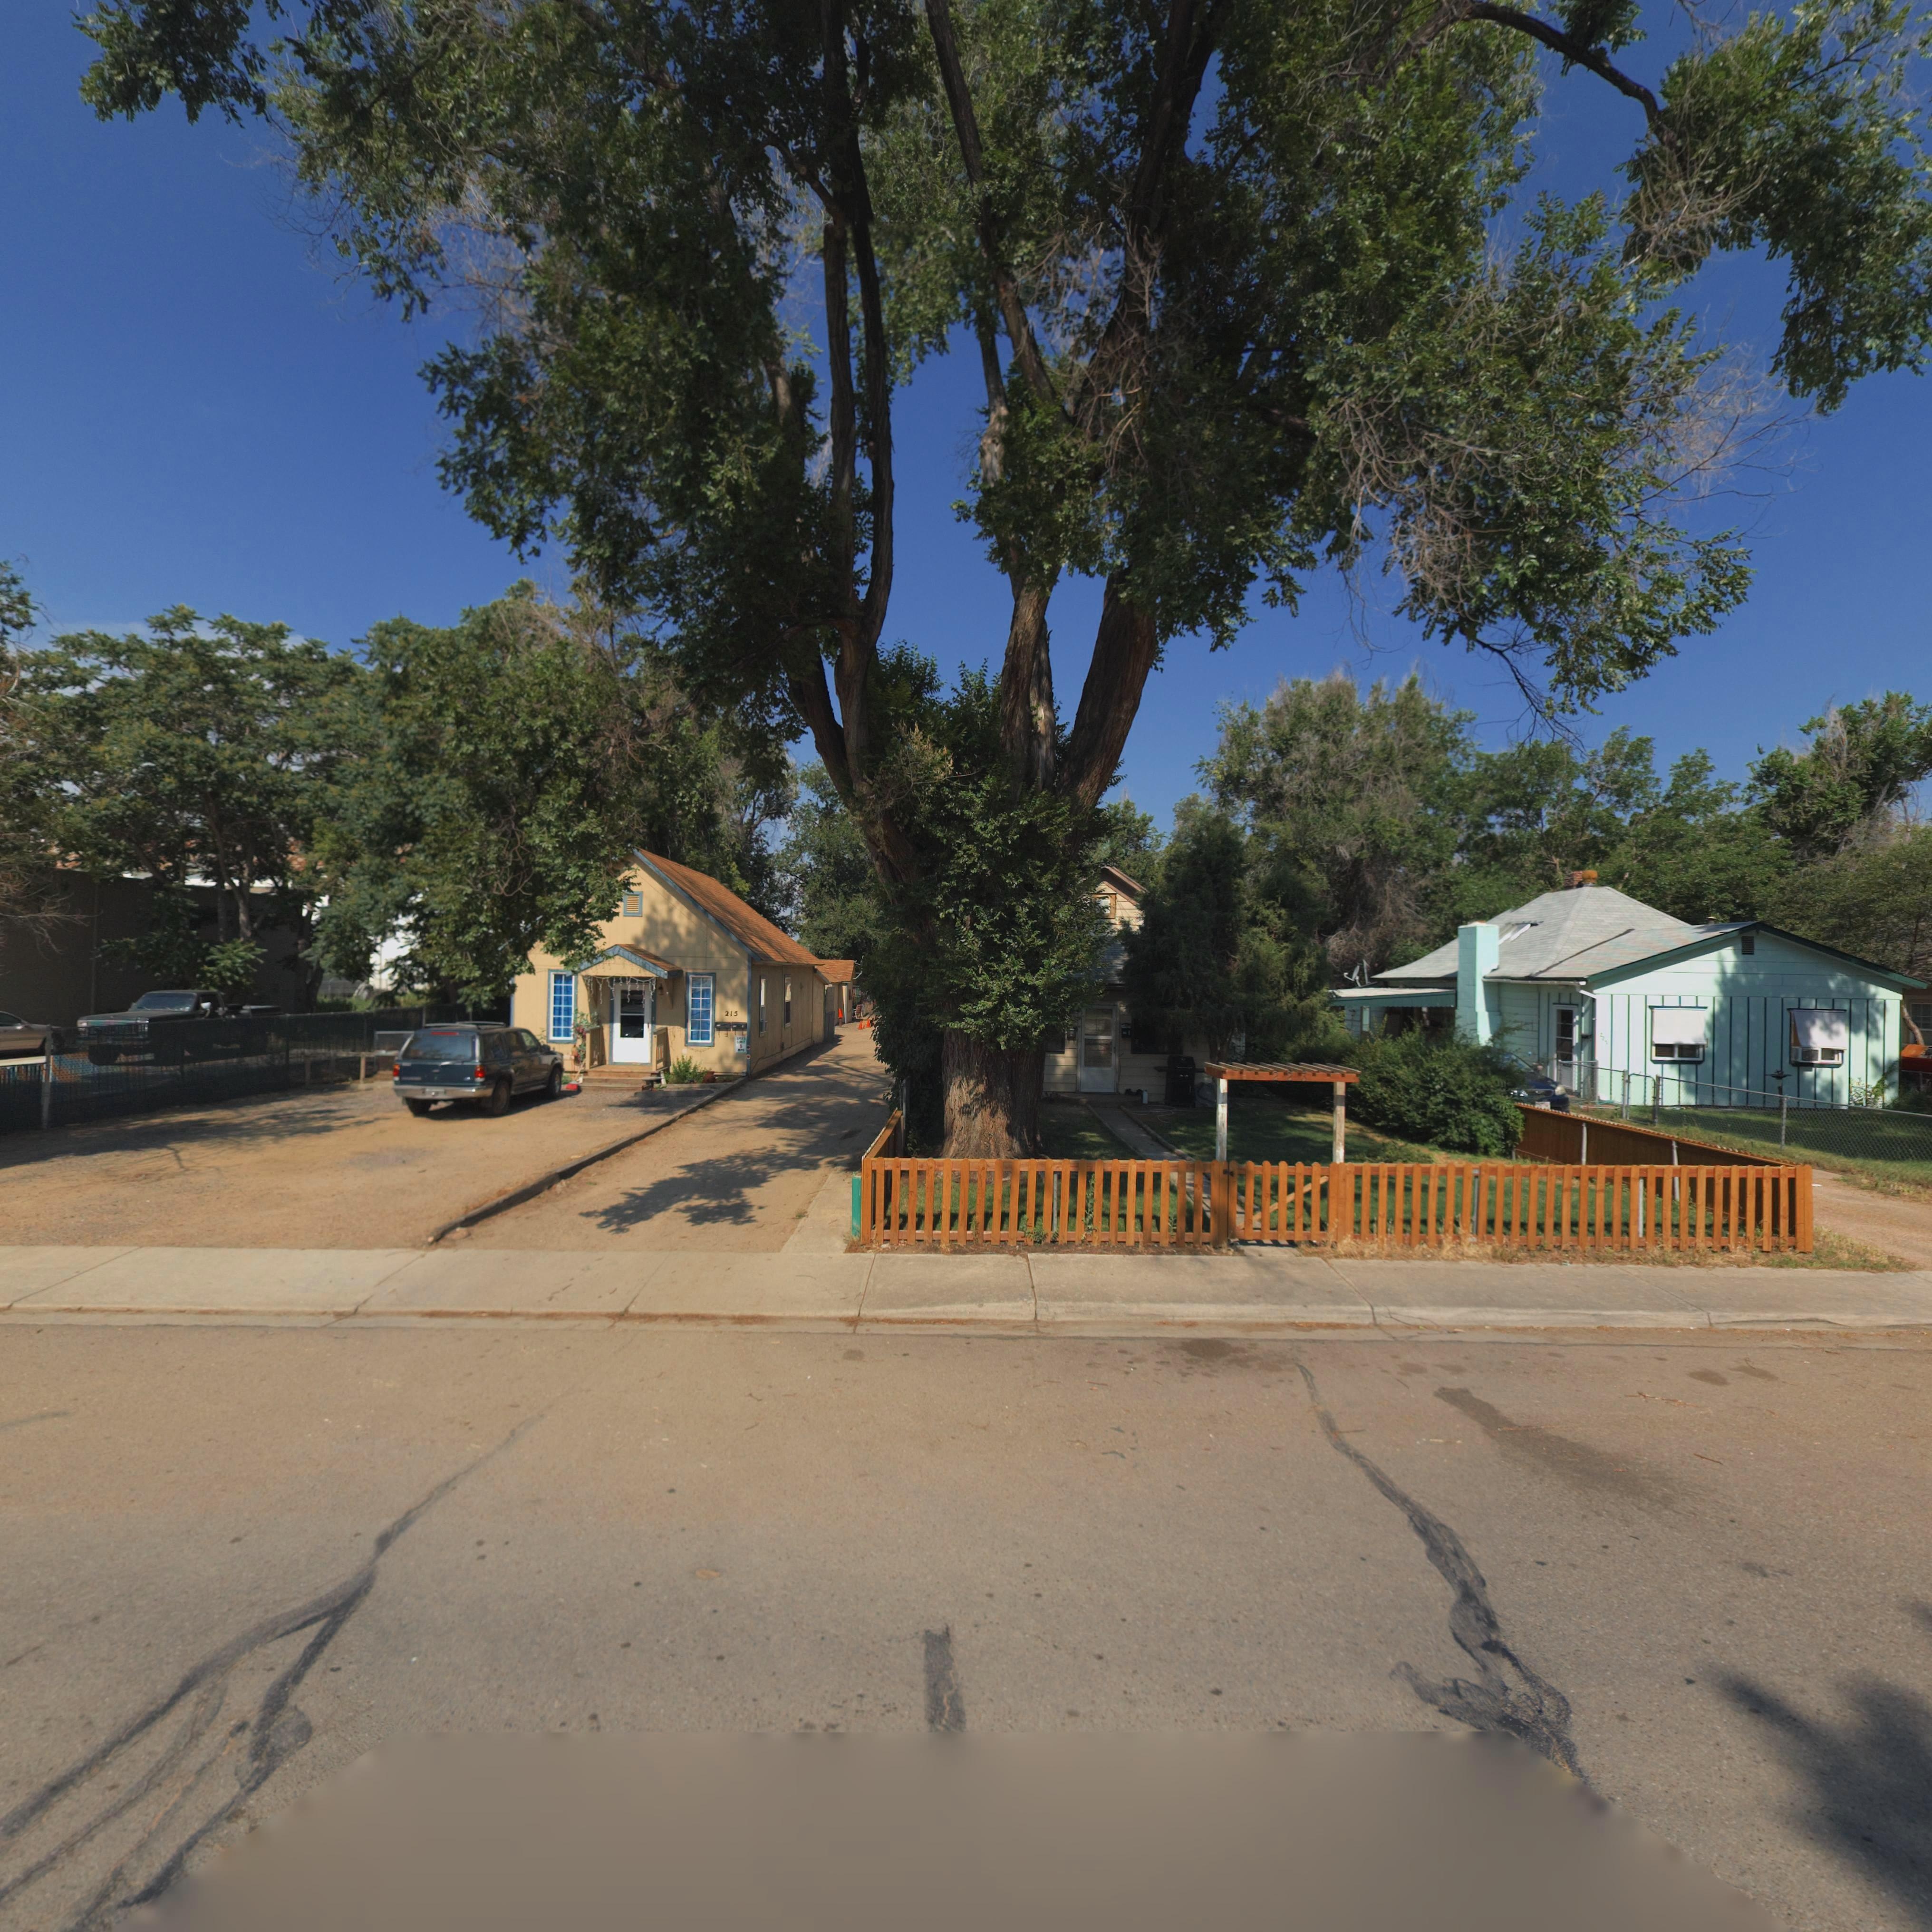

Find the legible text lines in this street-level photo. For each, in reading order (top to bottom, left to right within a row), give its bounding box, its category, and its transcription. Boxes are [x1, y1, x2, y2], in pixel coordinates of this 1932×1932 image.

[725, 1010, 738, 1016] StreetNumber: 215
[1599, 1031, 1608, 1044] StreetNumber: 2*1